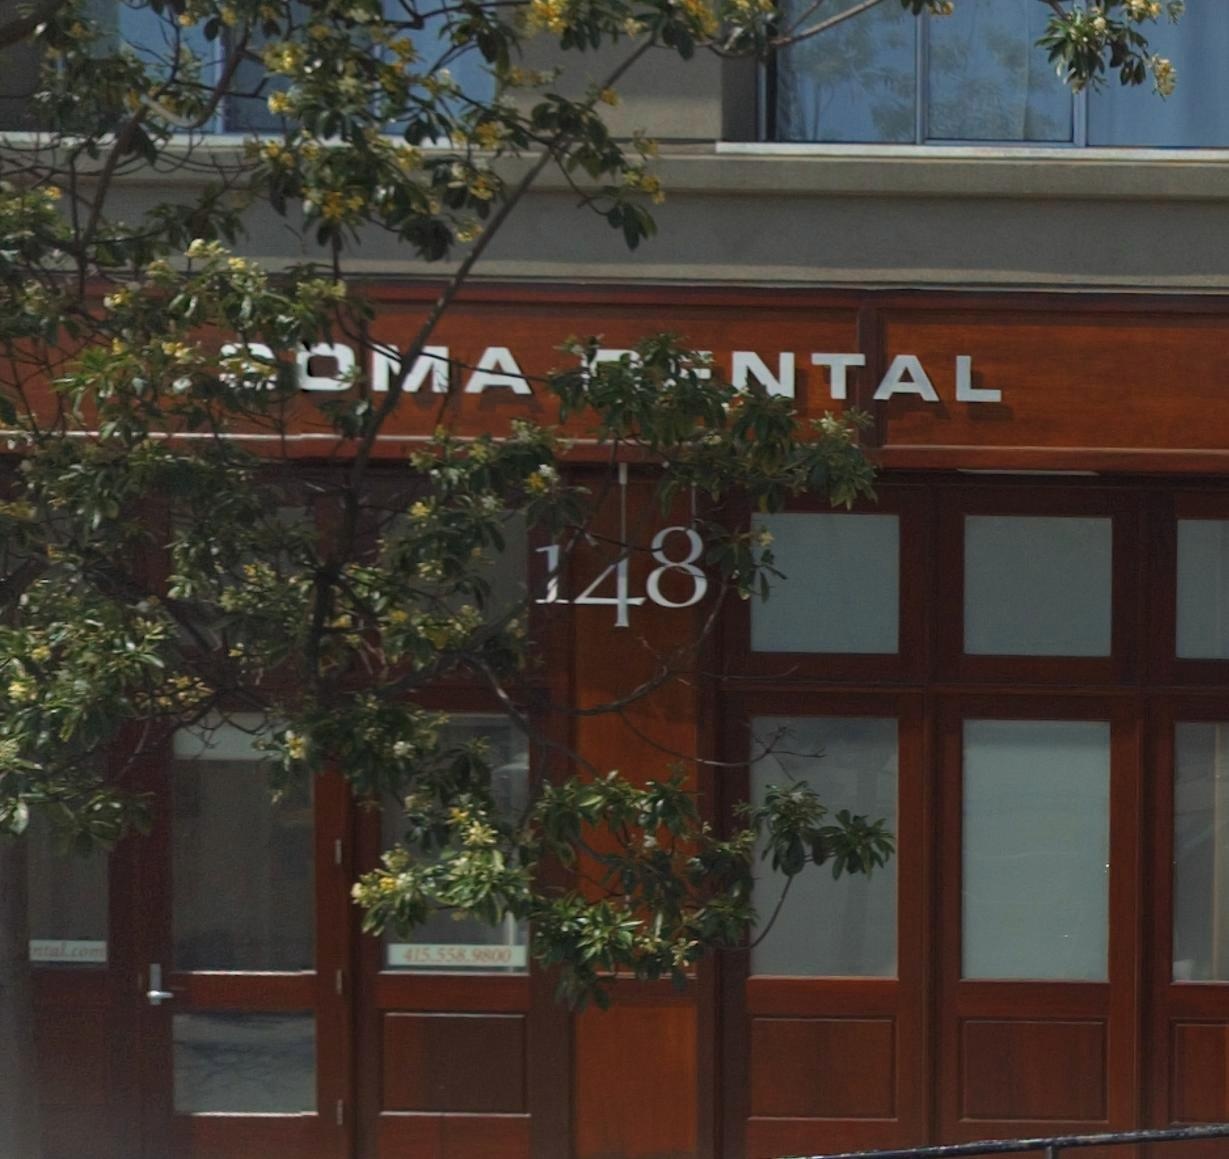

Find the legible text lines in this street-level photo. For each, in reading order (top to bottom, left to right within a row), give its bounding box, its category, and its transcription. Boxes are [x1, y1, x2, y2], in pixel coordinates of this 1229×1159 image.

[806, 350, 1010, 407] BusinessName: TAL
[530, 522, 710, 633] StreetNumber: 148